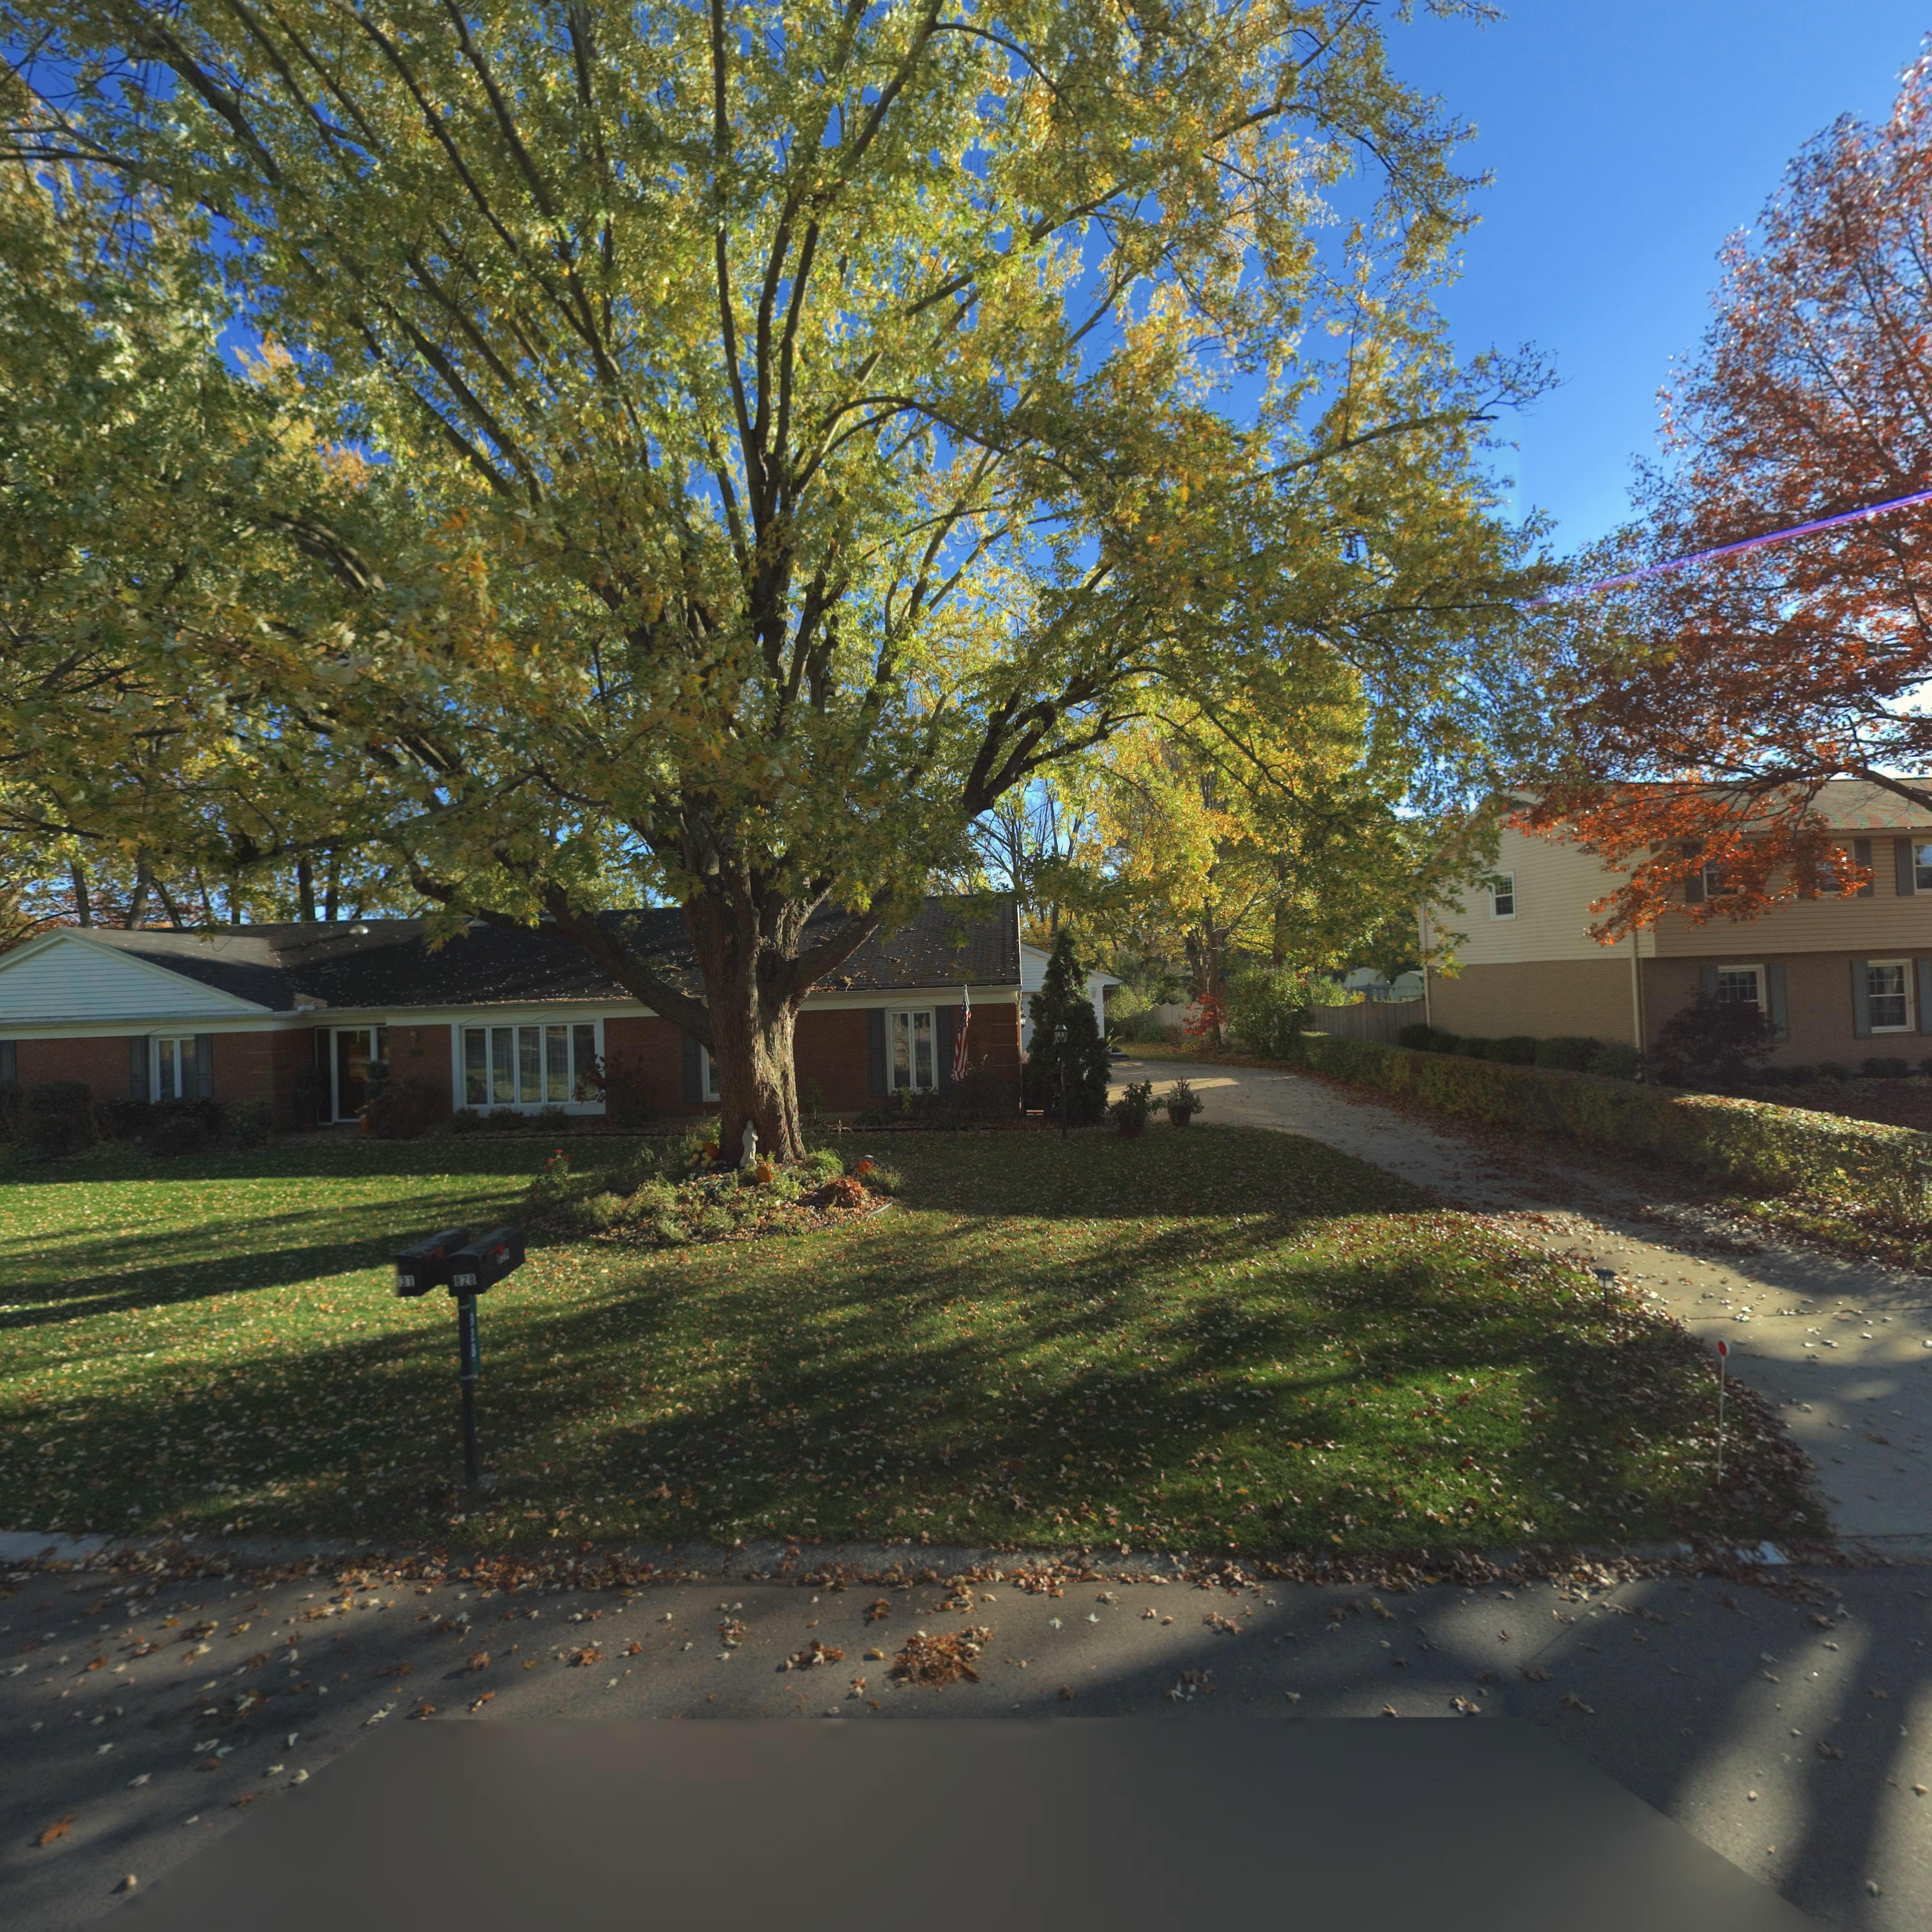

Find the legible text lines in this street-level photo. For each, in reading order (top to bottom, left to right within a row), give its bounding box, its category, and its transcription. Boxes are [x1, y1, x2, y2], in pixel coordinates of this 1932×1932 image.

[496, 1248, 509, 1265] StreetNumber: 828
[393, 1275, 413, 1287] StreetNumber: 831
[454, 1274, 475, 1286] StreetNumber: 828
[469, 1311, 478, 1359] StreetNumber: 828